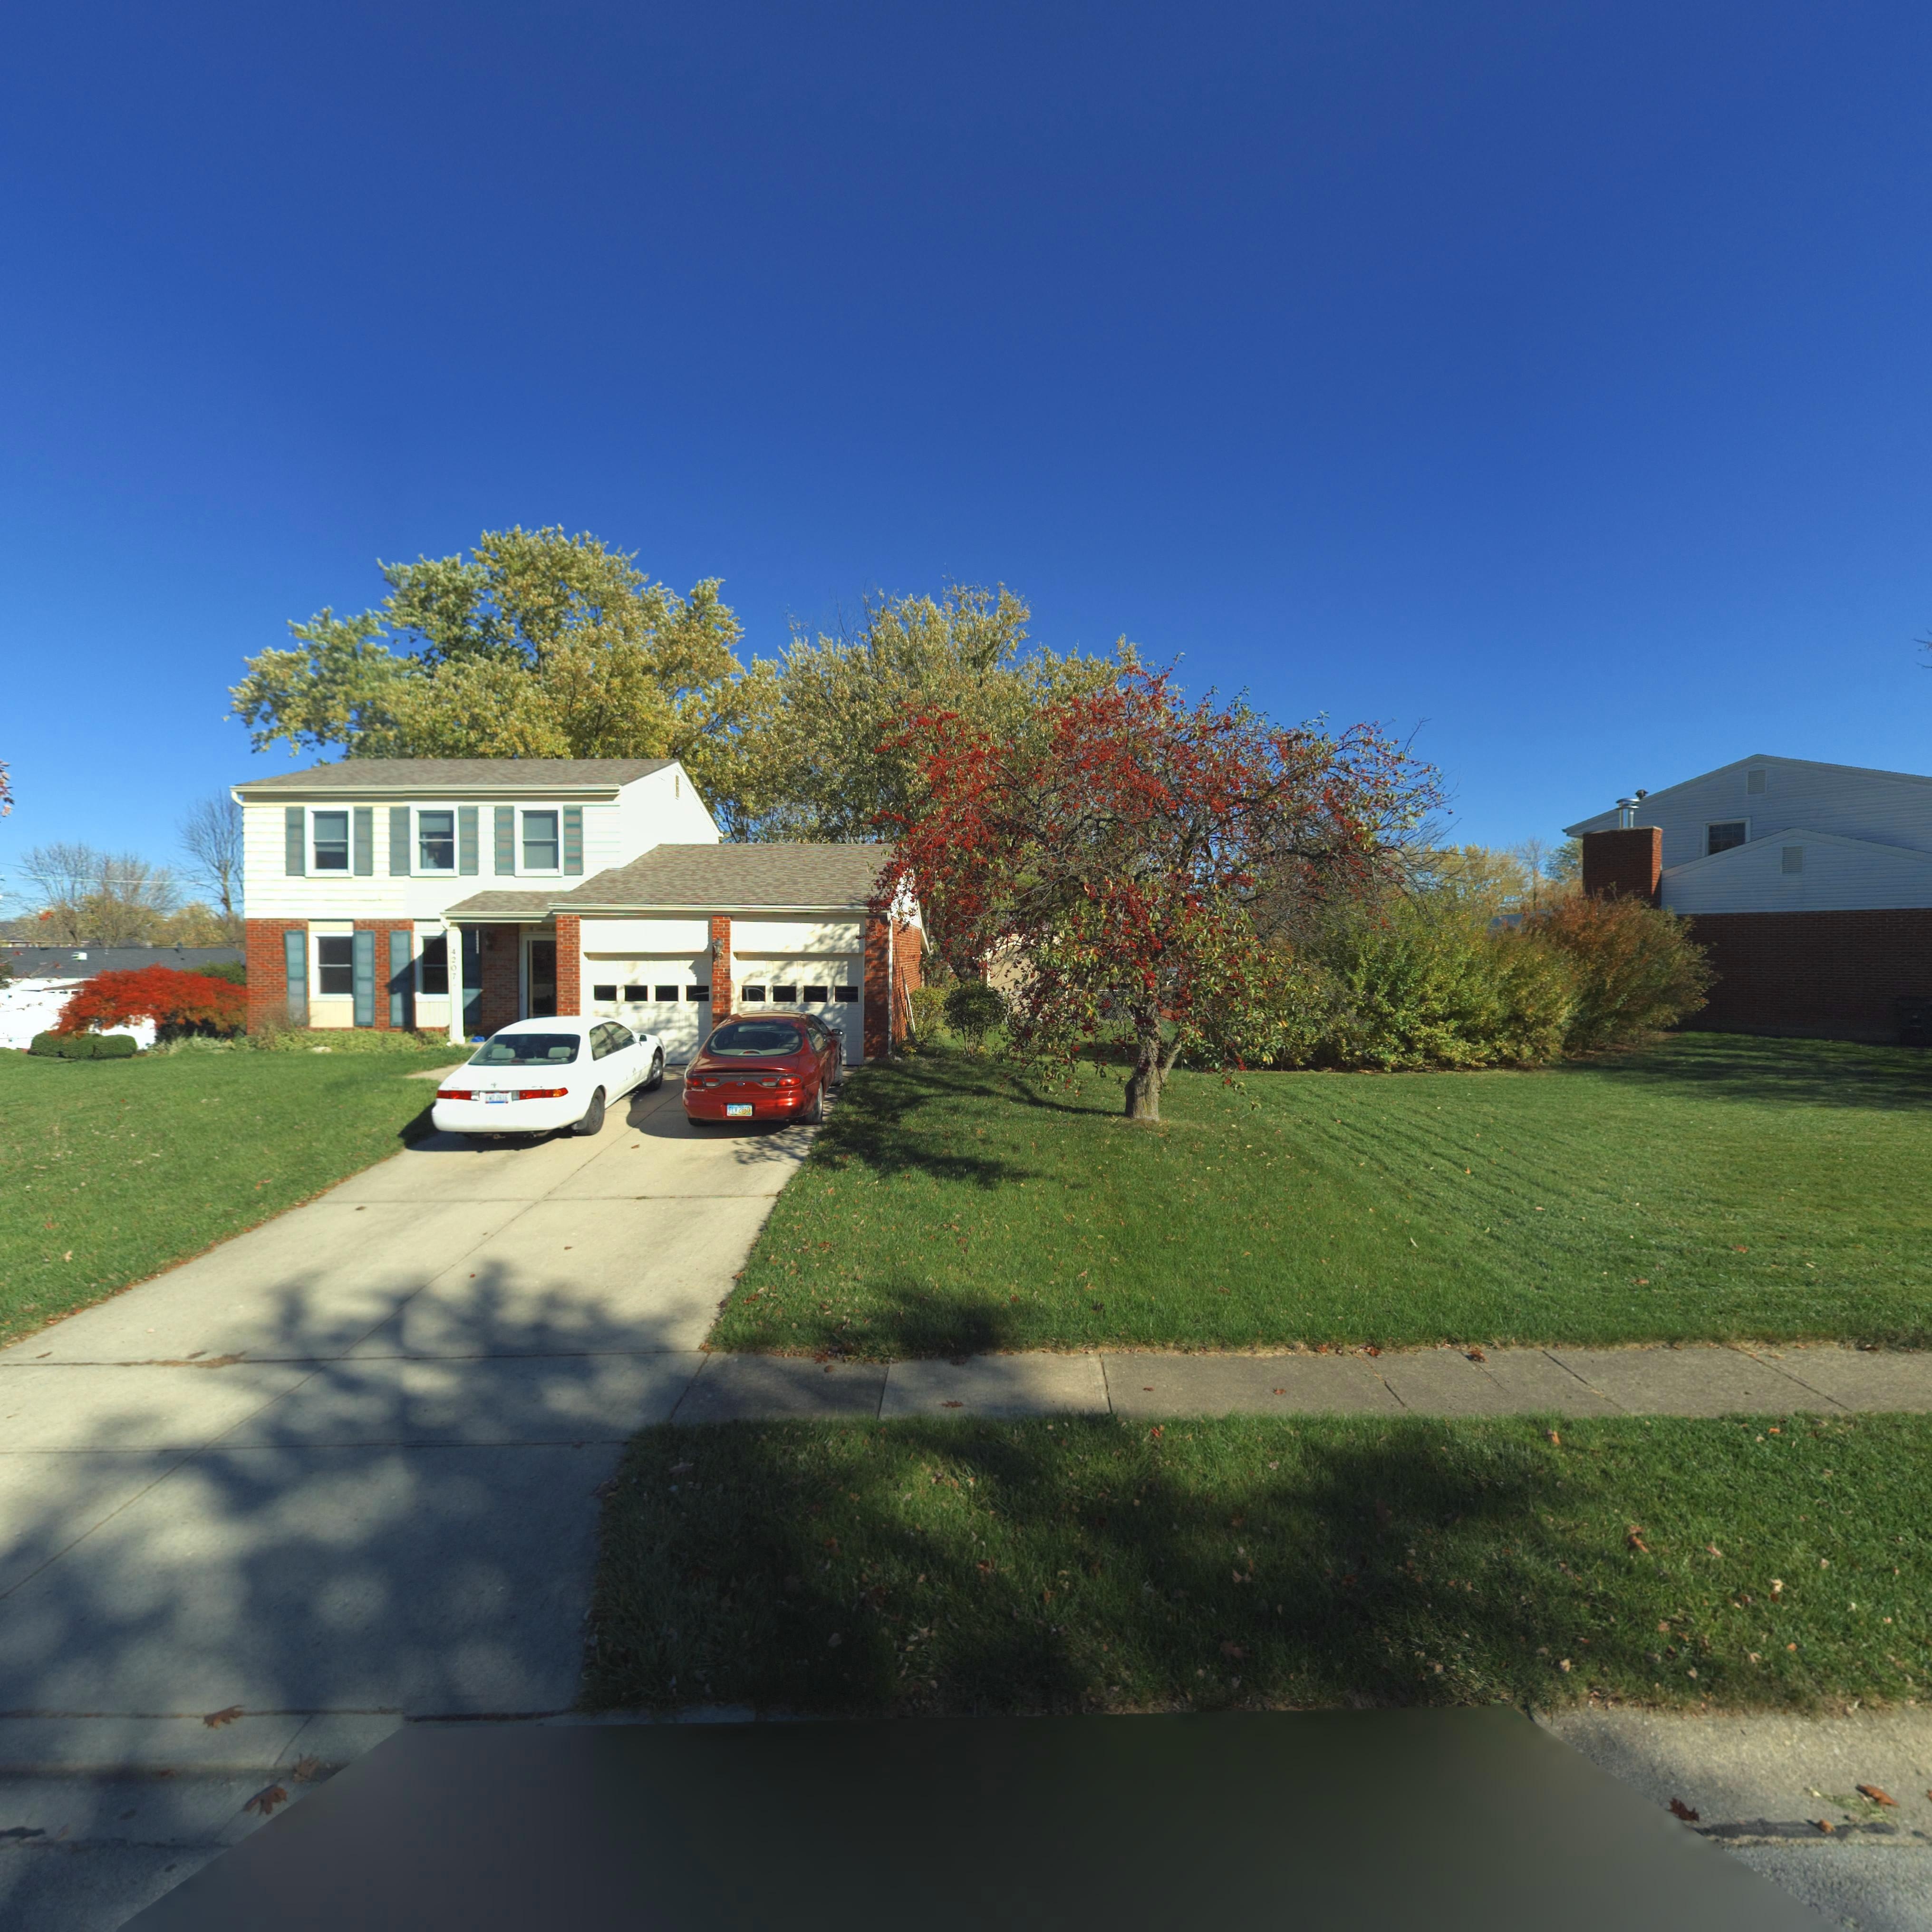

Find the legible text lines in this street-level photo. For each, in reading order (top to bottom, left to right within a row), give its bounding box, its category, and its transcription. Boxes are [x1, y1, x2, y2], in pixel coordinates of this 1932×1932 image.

[450, 947, 458, 981] StreetNumber: 4207
[485, 1094, 509, 1102] None: E***2616
[728, 1106, 751, 1114] None: FLY*2860